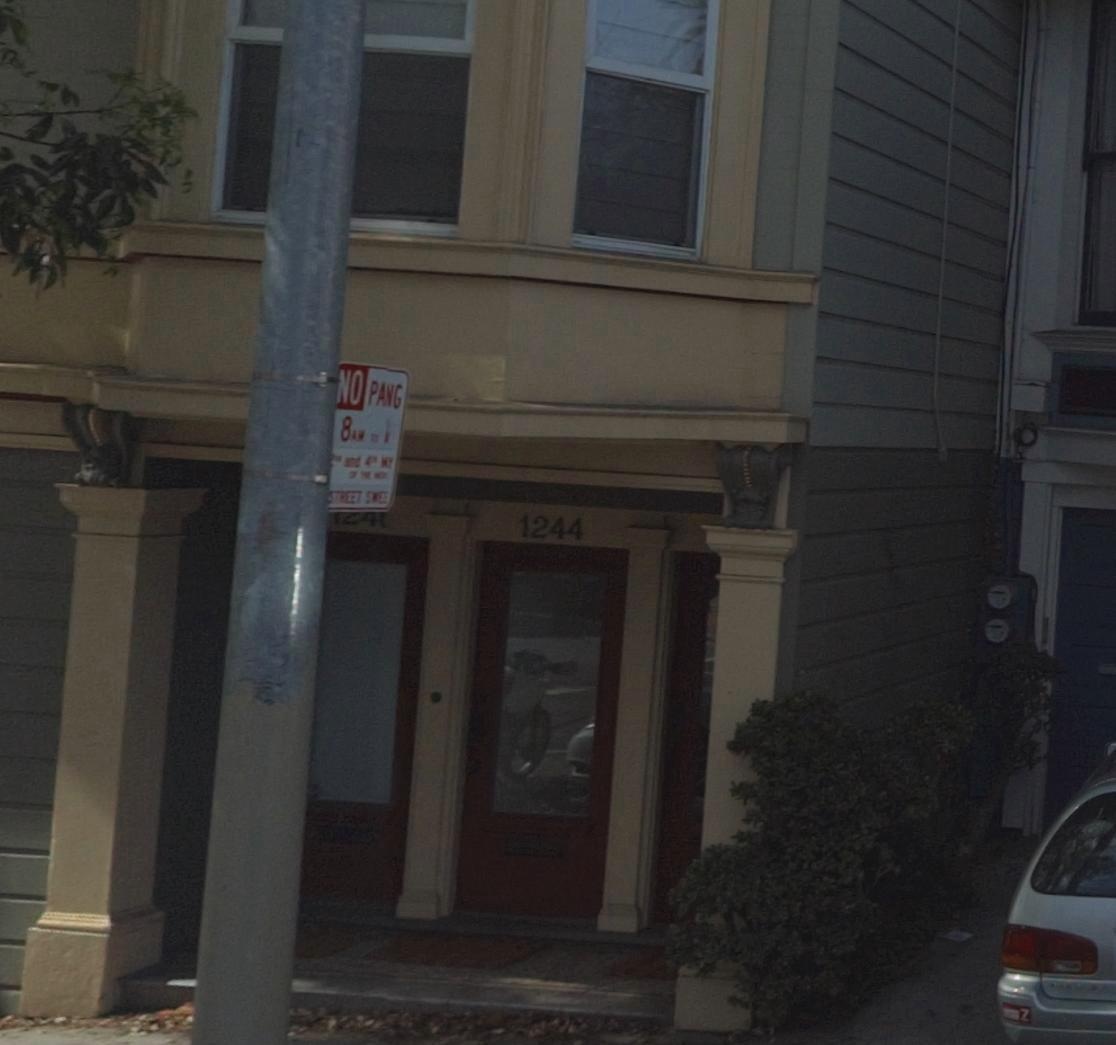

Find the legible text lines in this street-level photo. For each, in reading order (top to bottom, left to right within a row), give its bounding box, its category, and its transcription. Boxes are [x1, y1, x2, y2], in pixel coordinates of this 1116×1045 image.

[334, 368, 403, 412] None: NO PA*G
[338, 415, 367, 443] None: 8AM
[342, 455, 373, 468] None: and 4
[325, 490, 390, 505] None: STREET SWEE
[518, 512, 584, 541] StreetNumber: 1244
[1019, 1007, 1031, 1024] None: Z